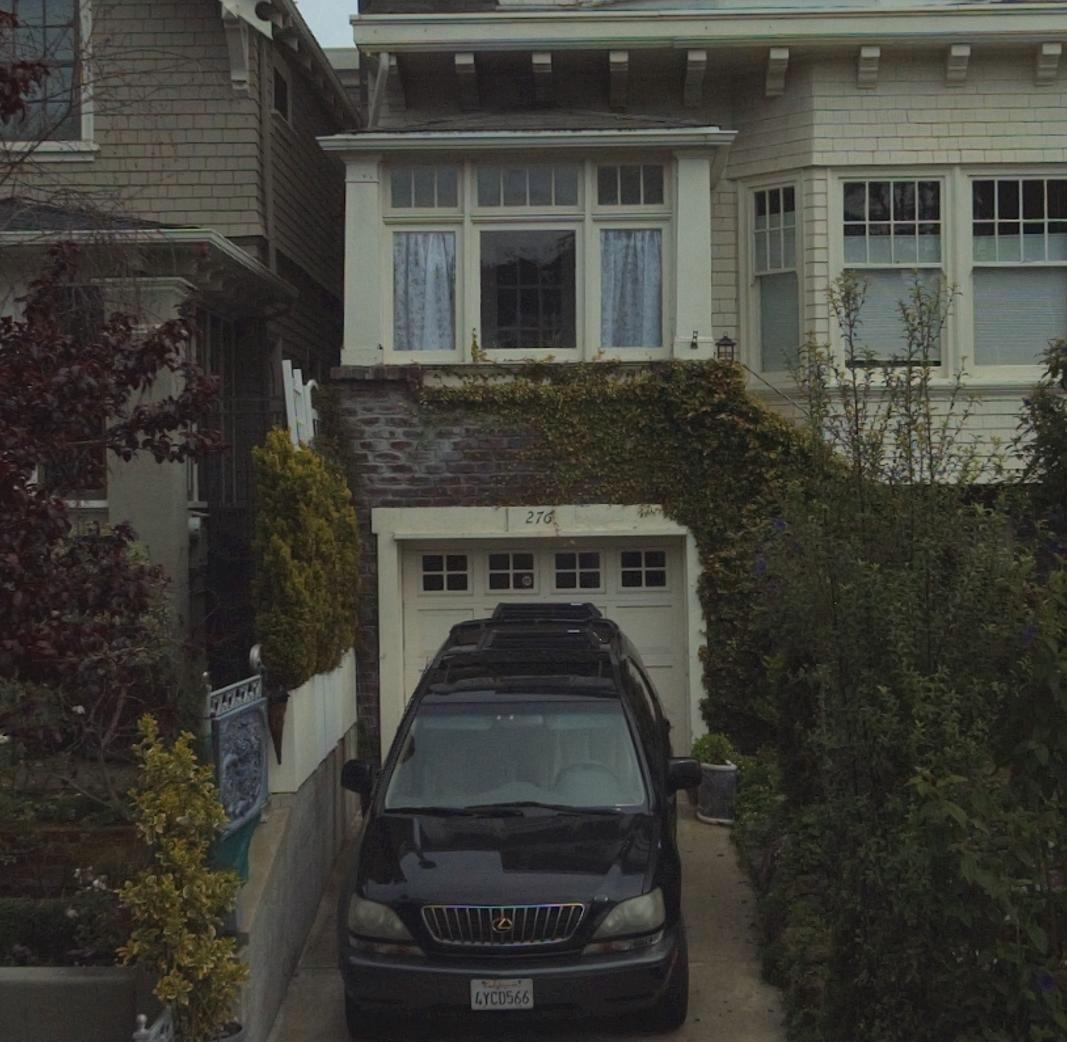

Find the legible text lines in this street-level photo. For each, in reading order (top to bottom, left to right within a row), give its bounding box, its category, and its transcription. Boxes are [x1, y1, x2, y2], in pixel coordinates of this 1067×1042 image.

[525, 510, 555, 525] StreetNumber: 276
[473, 989, 530, 1006] None: 4YCD566